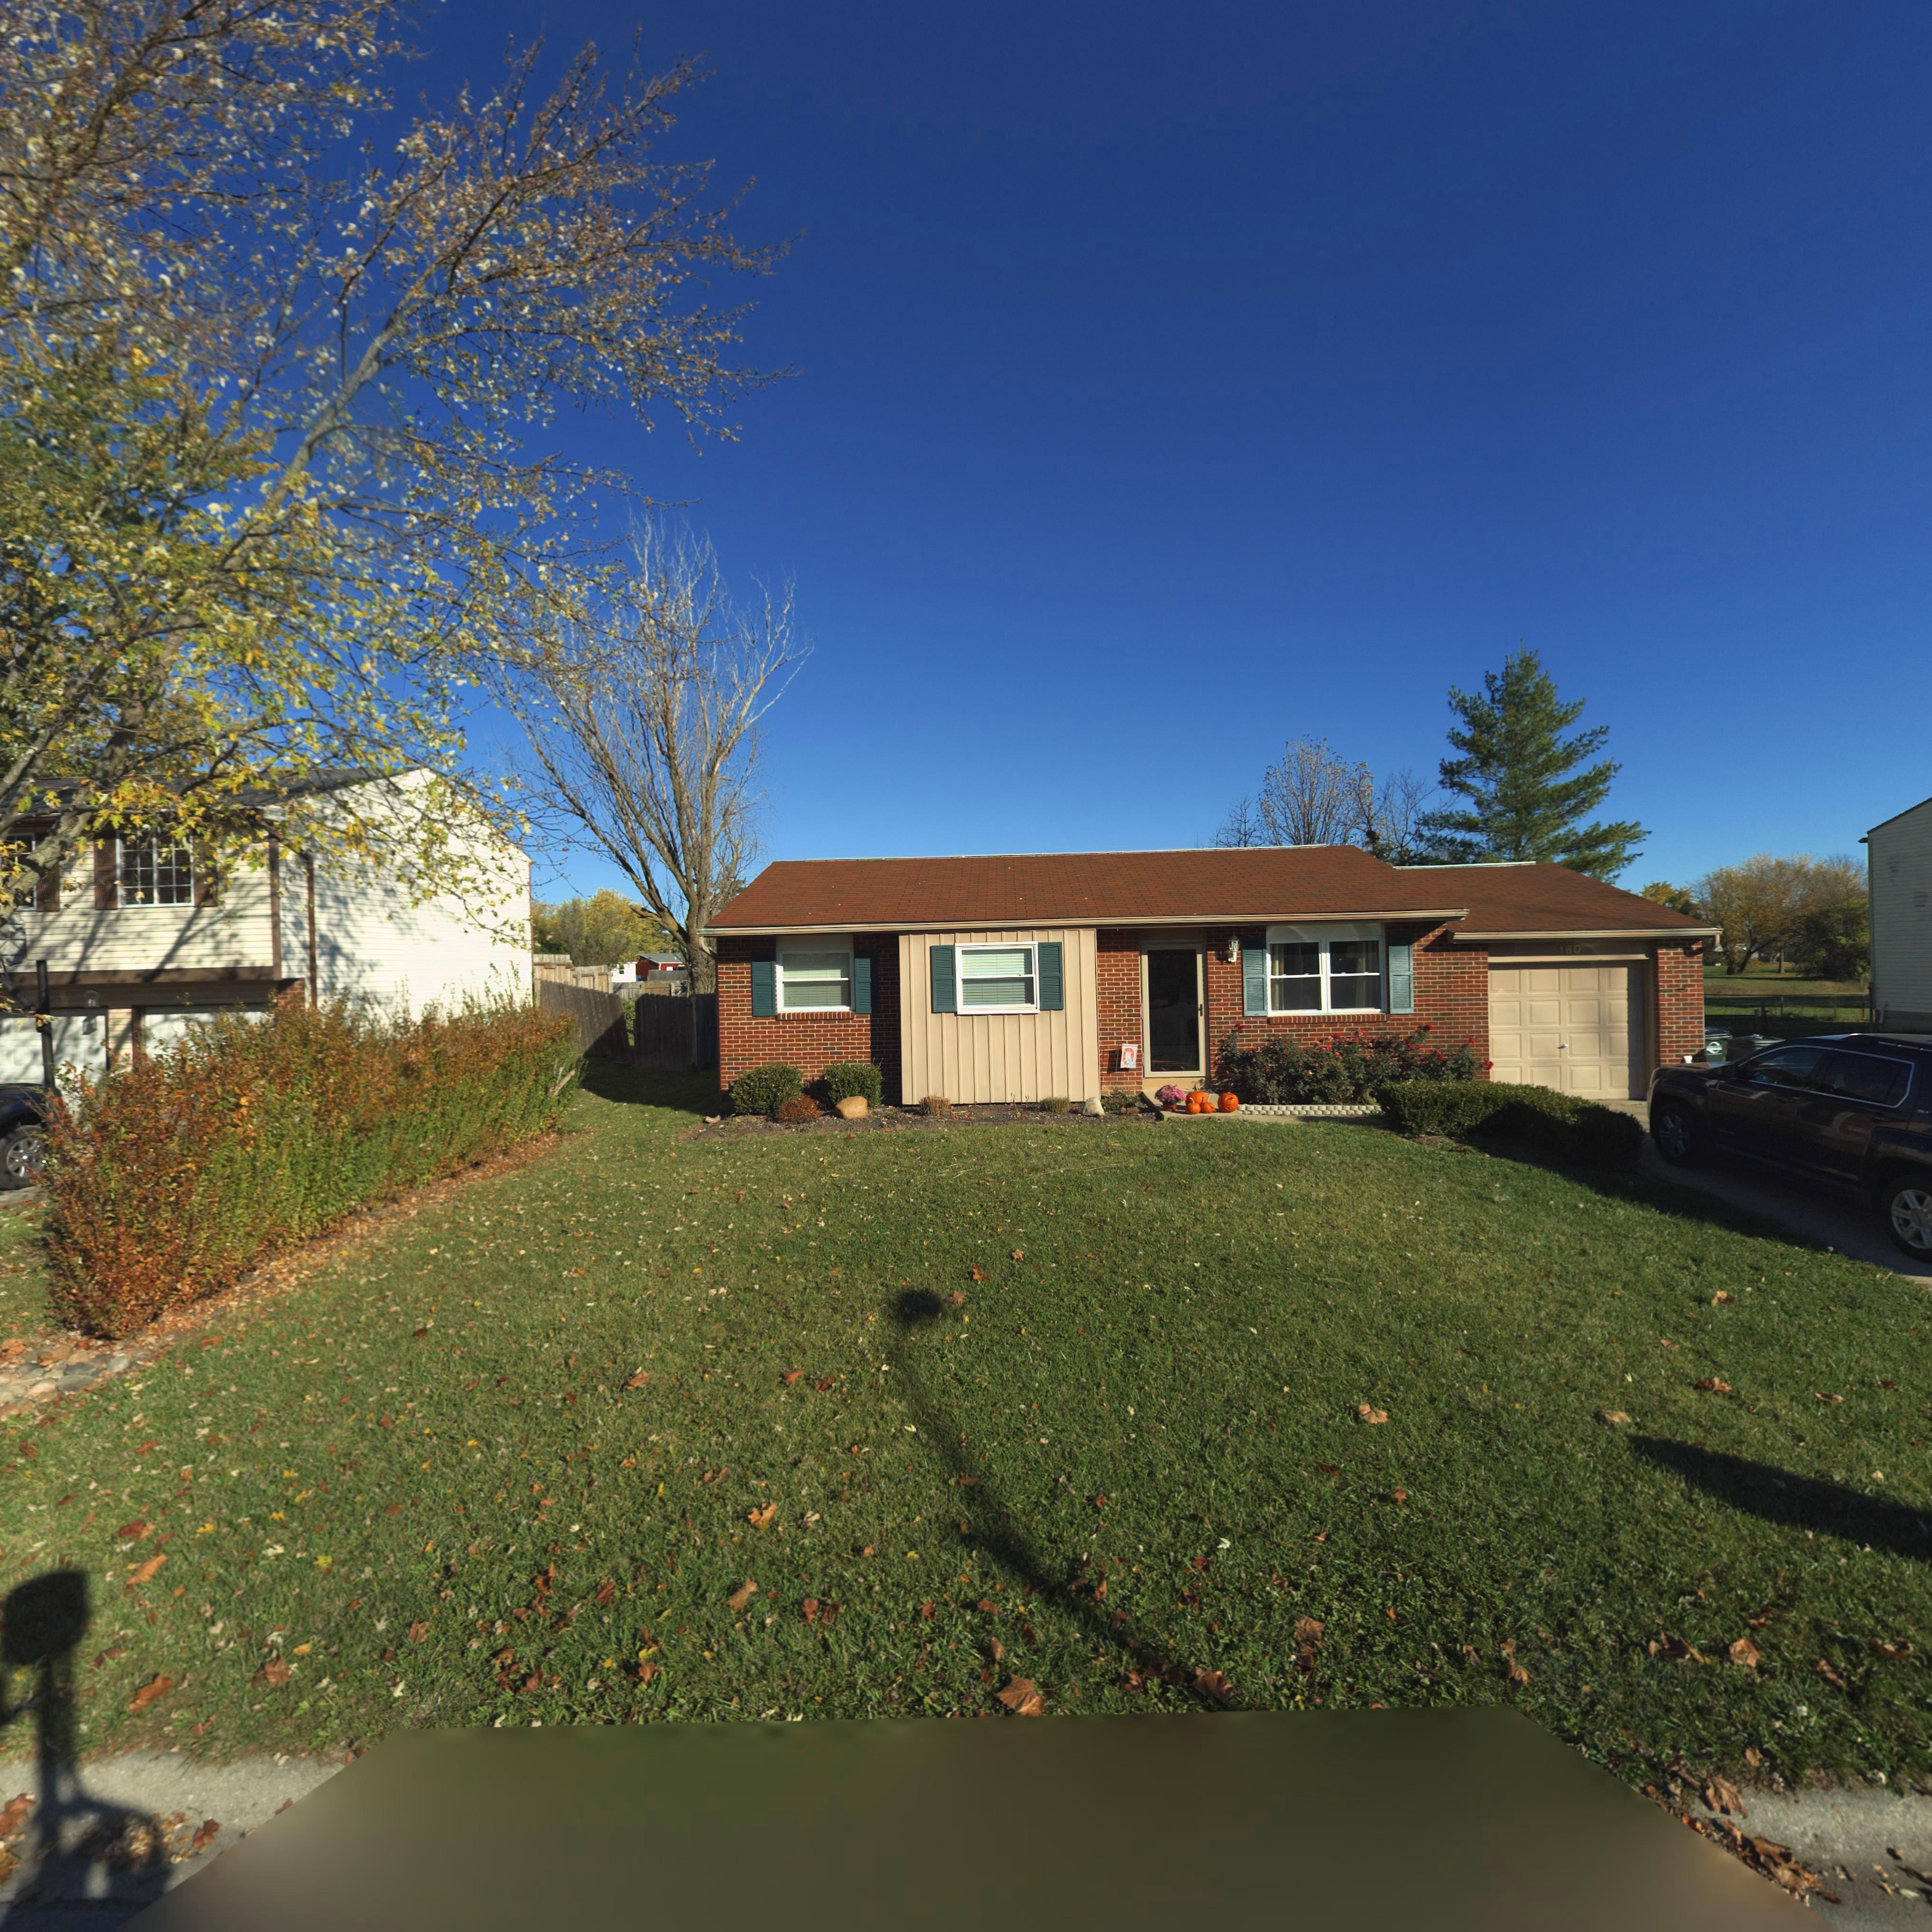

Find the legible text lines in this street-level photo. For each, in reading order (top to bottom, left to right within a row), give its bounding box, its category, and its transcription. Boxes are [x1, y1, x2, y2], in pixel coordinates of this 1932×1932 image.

[1558, 944, 1582, 955] StreetNumber: 160